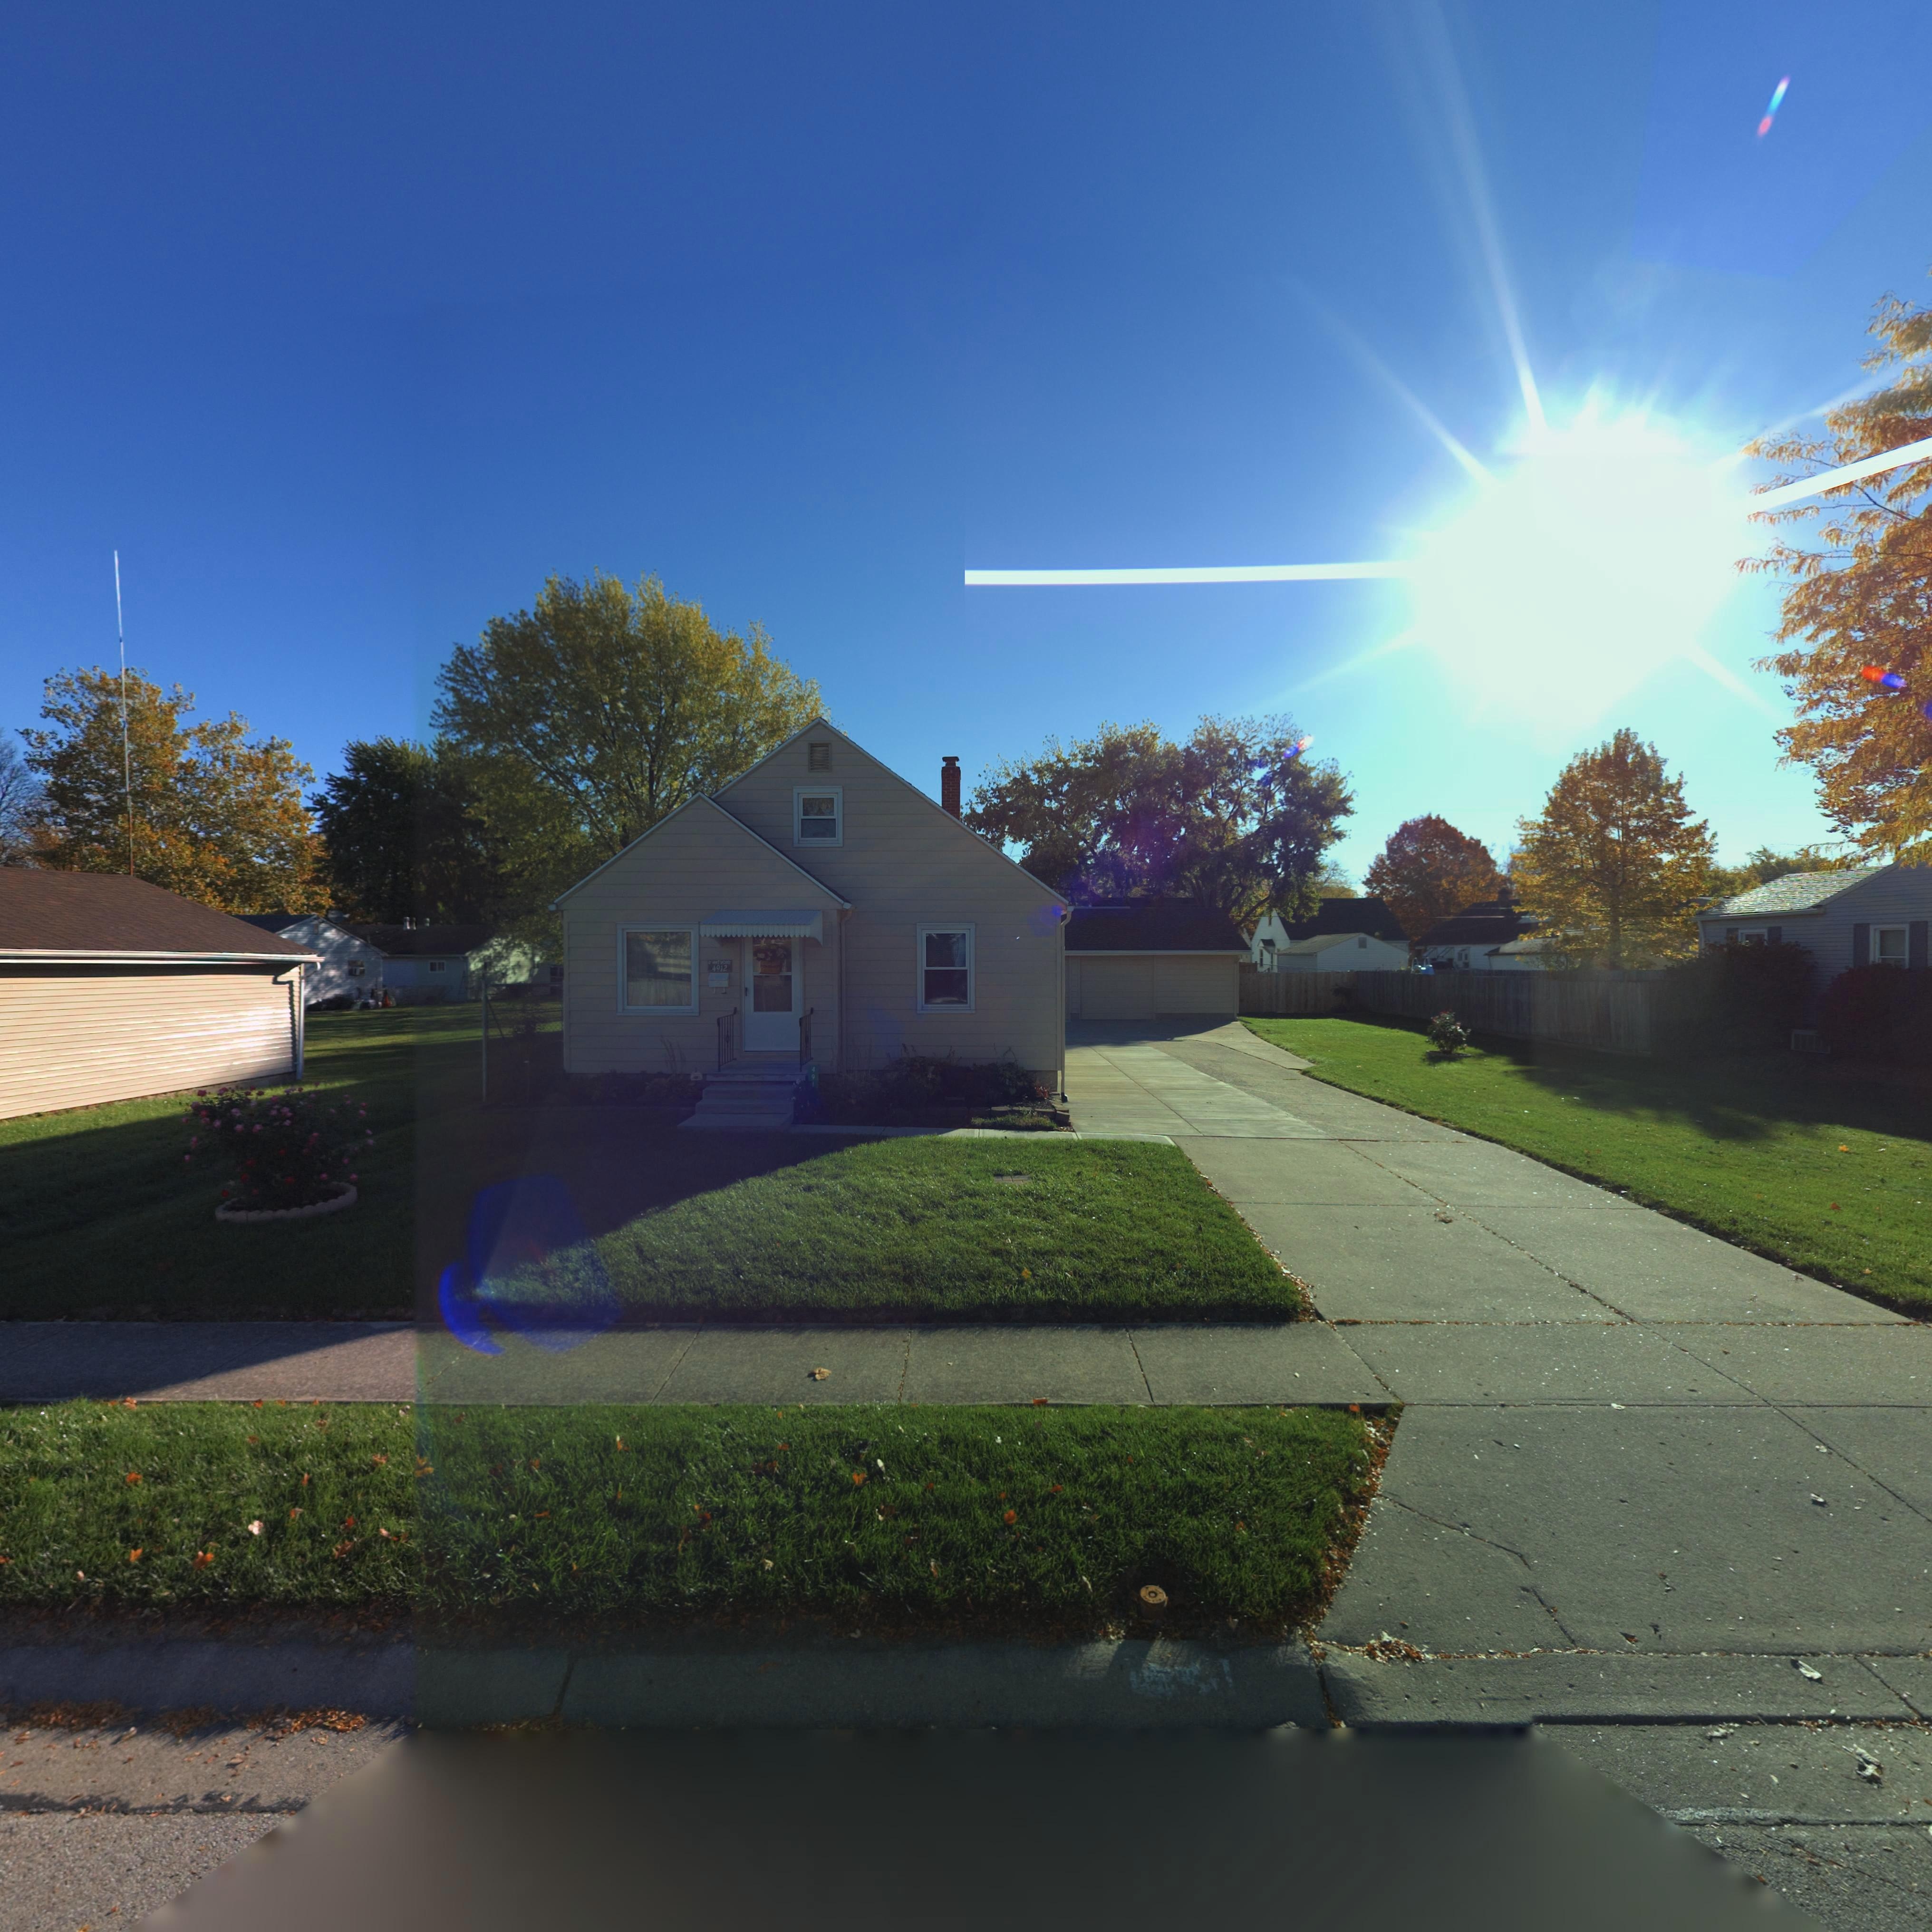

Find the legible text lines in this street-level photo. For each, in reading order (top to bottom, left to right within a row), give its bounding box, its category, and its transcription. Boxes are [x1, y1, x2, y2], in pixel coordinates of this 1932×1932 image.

[712, 964, 728, 973] StreetNumber: 4912